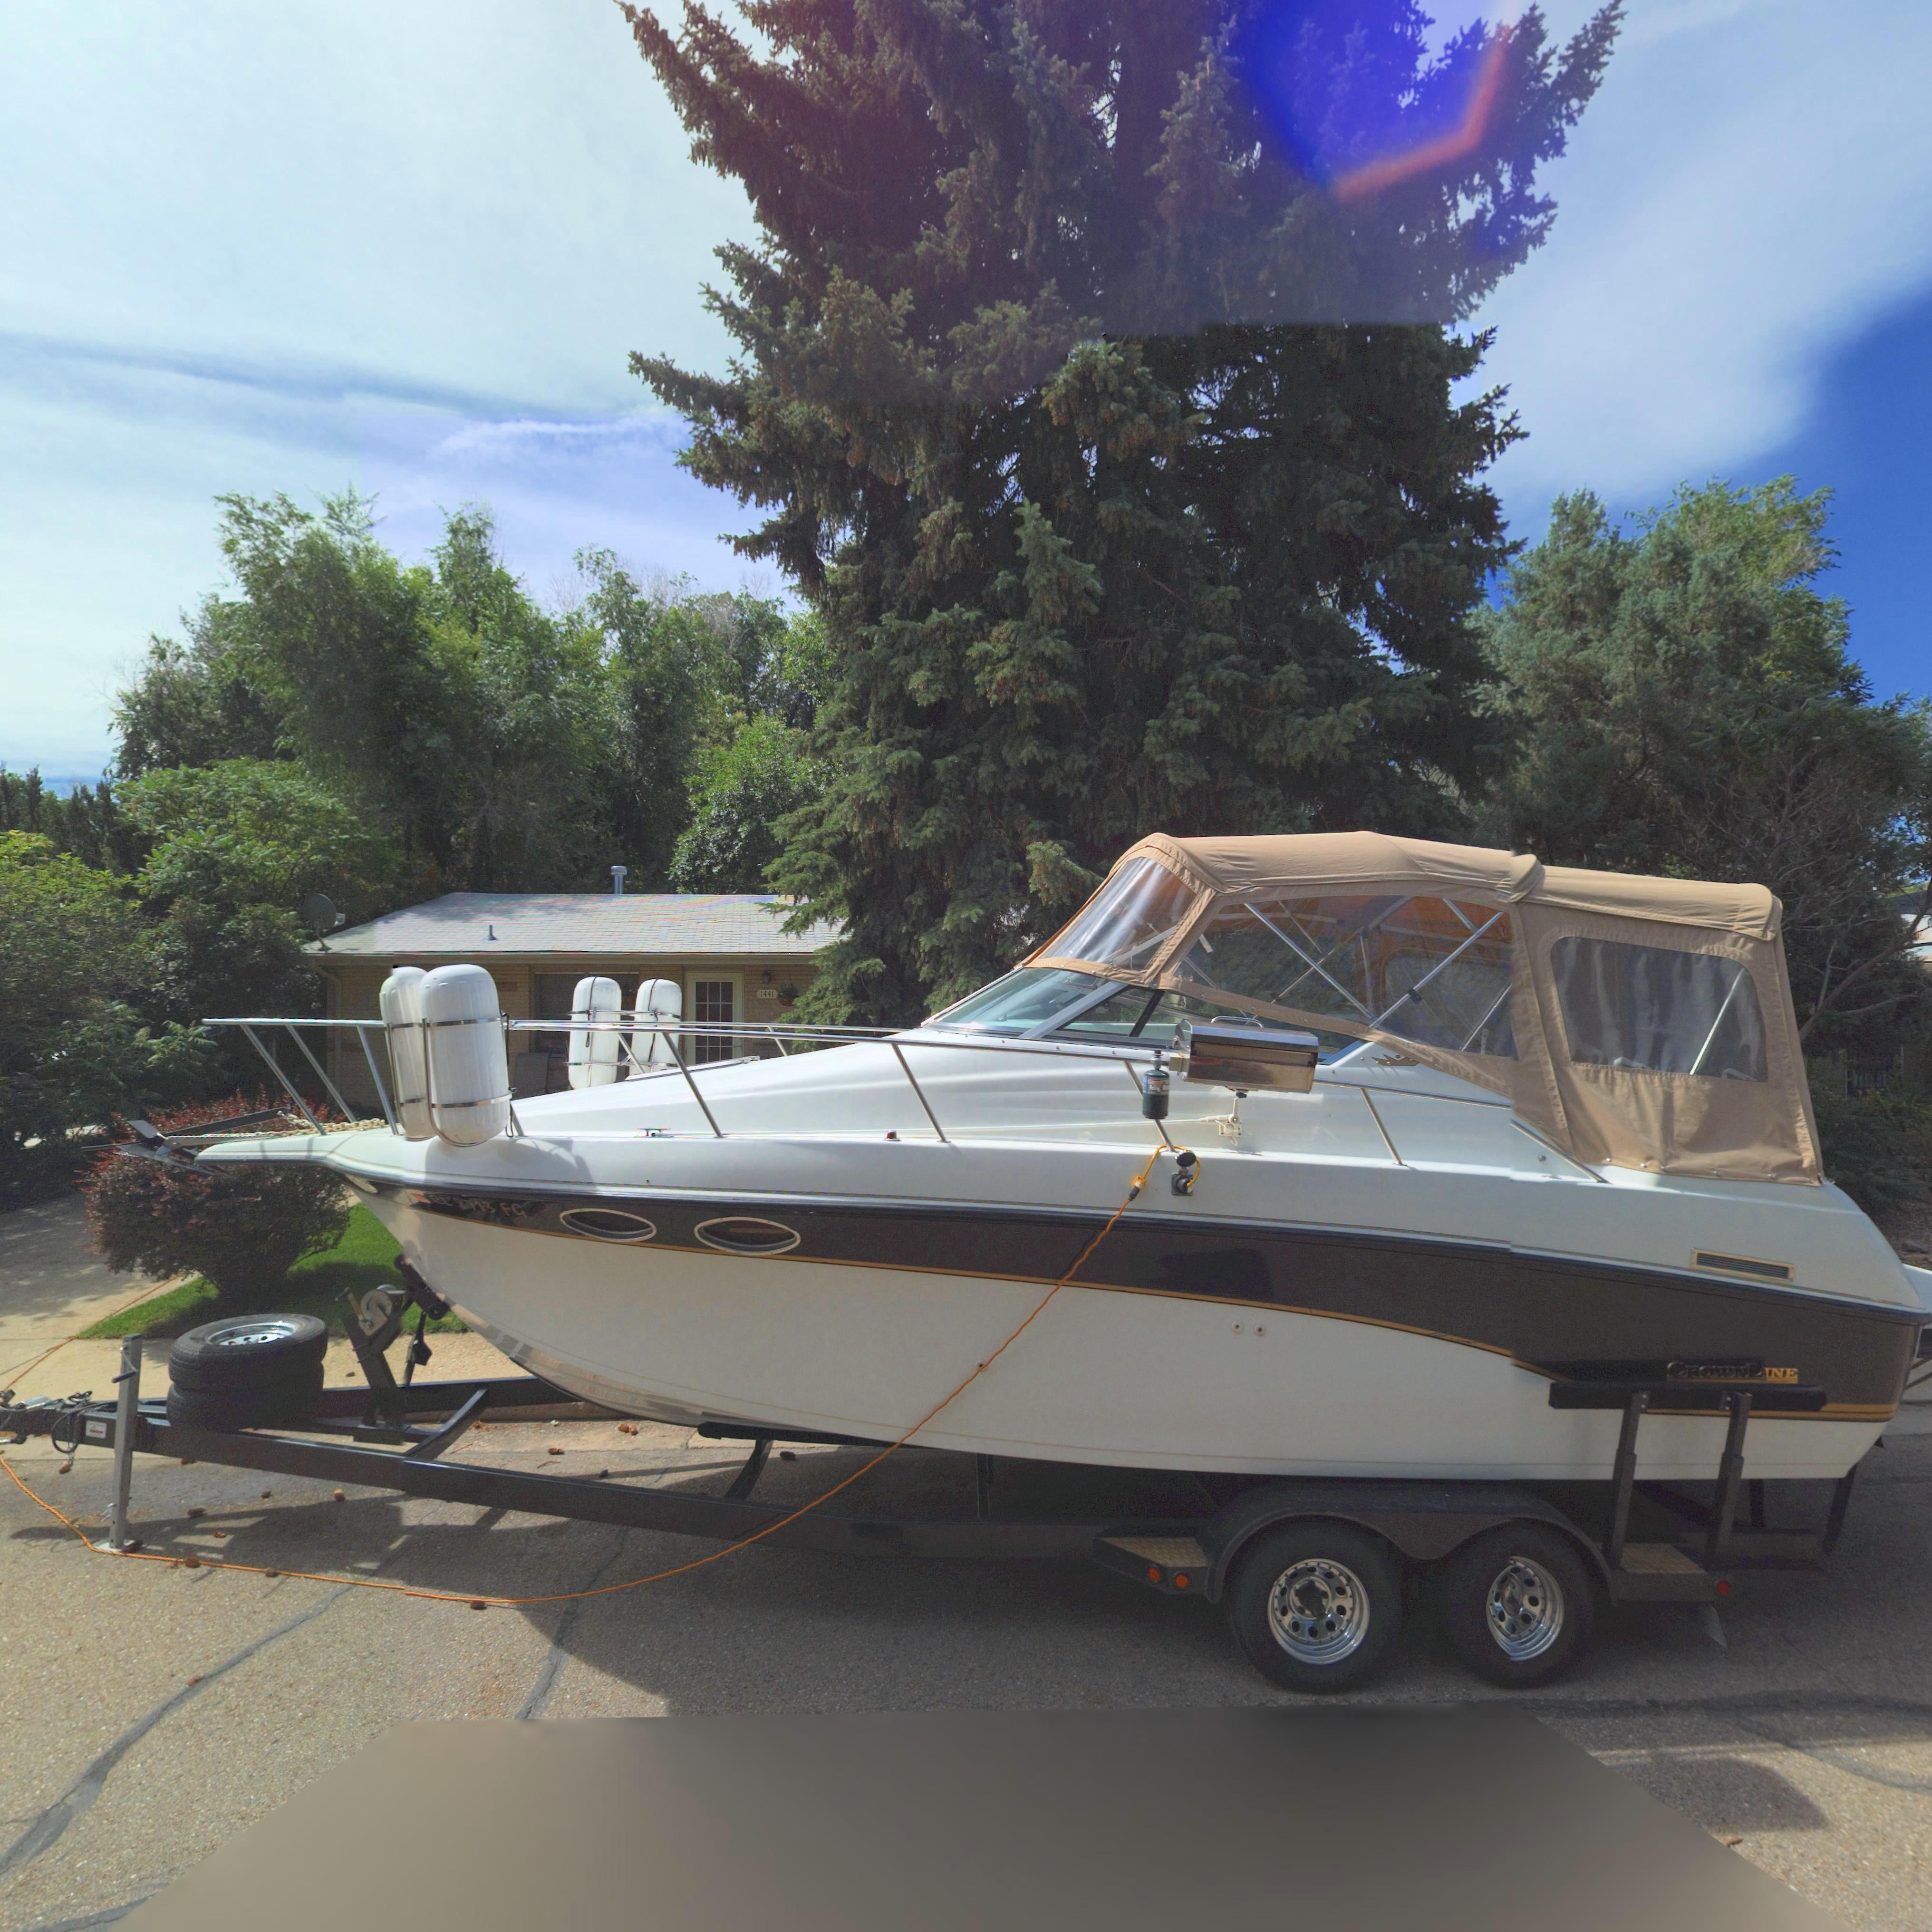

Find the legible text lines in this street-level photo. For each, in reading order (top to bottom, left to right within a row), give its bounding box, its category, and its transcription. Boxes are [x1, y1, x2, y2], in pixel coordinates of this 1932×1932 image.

[760, 990, 774, 998] StreetNumber: 1441